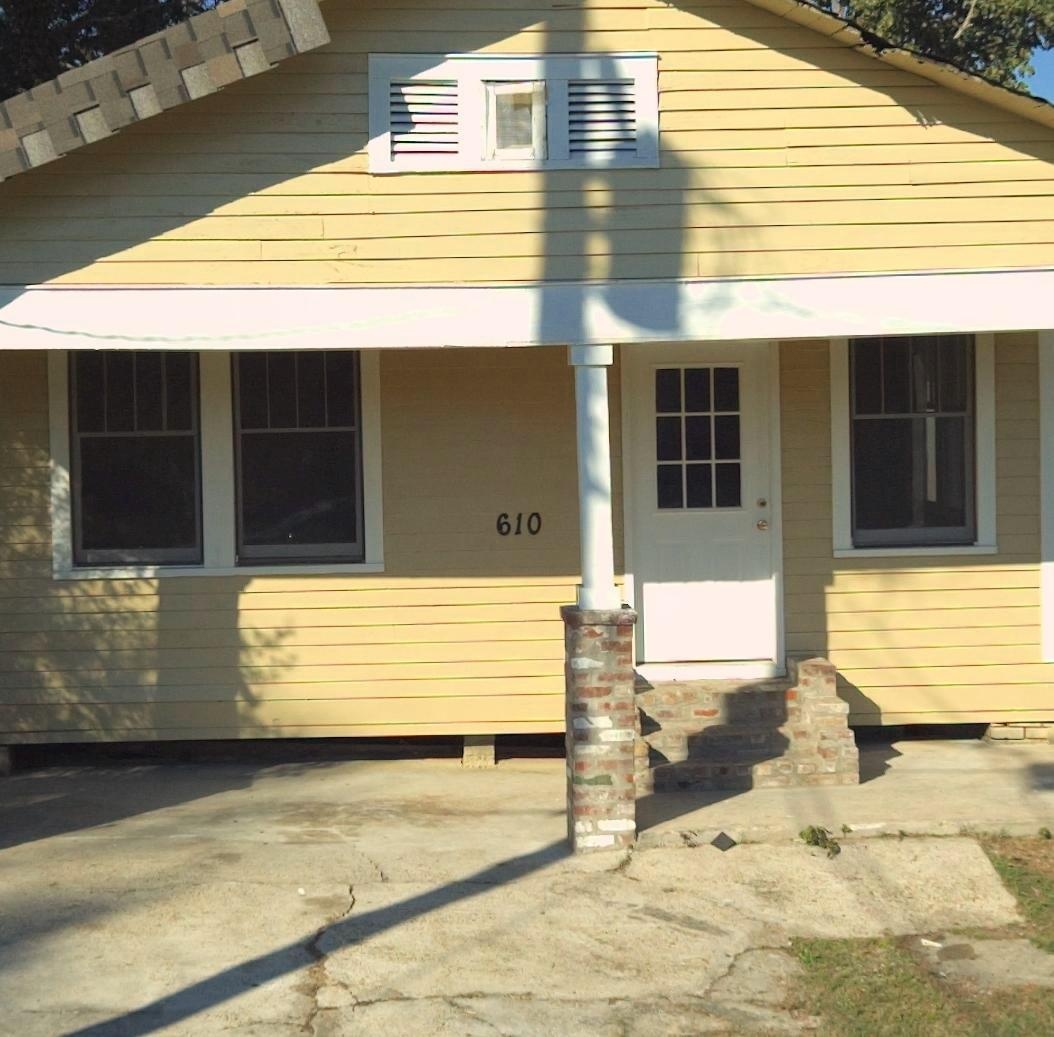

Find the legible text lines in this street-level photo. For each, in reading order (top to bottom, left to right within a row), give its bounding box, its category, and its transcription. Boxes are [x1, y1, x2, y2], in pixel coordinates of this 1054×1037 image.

[494, 509, 544, 539] StreetNumber: 610